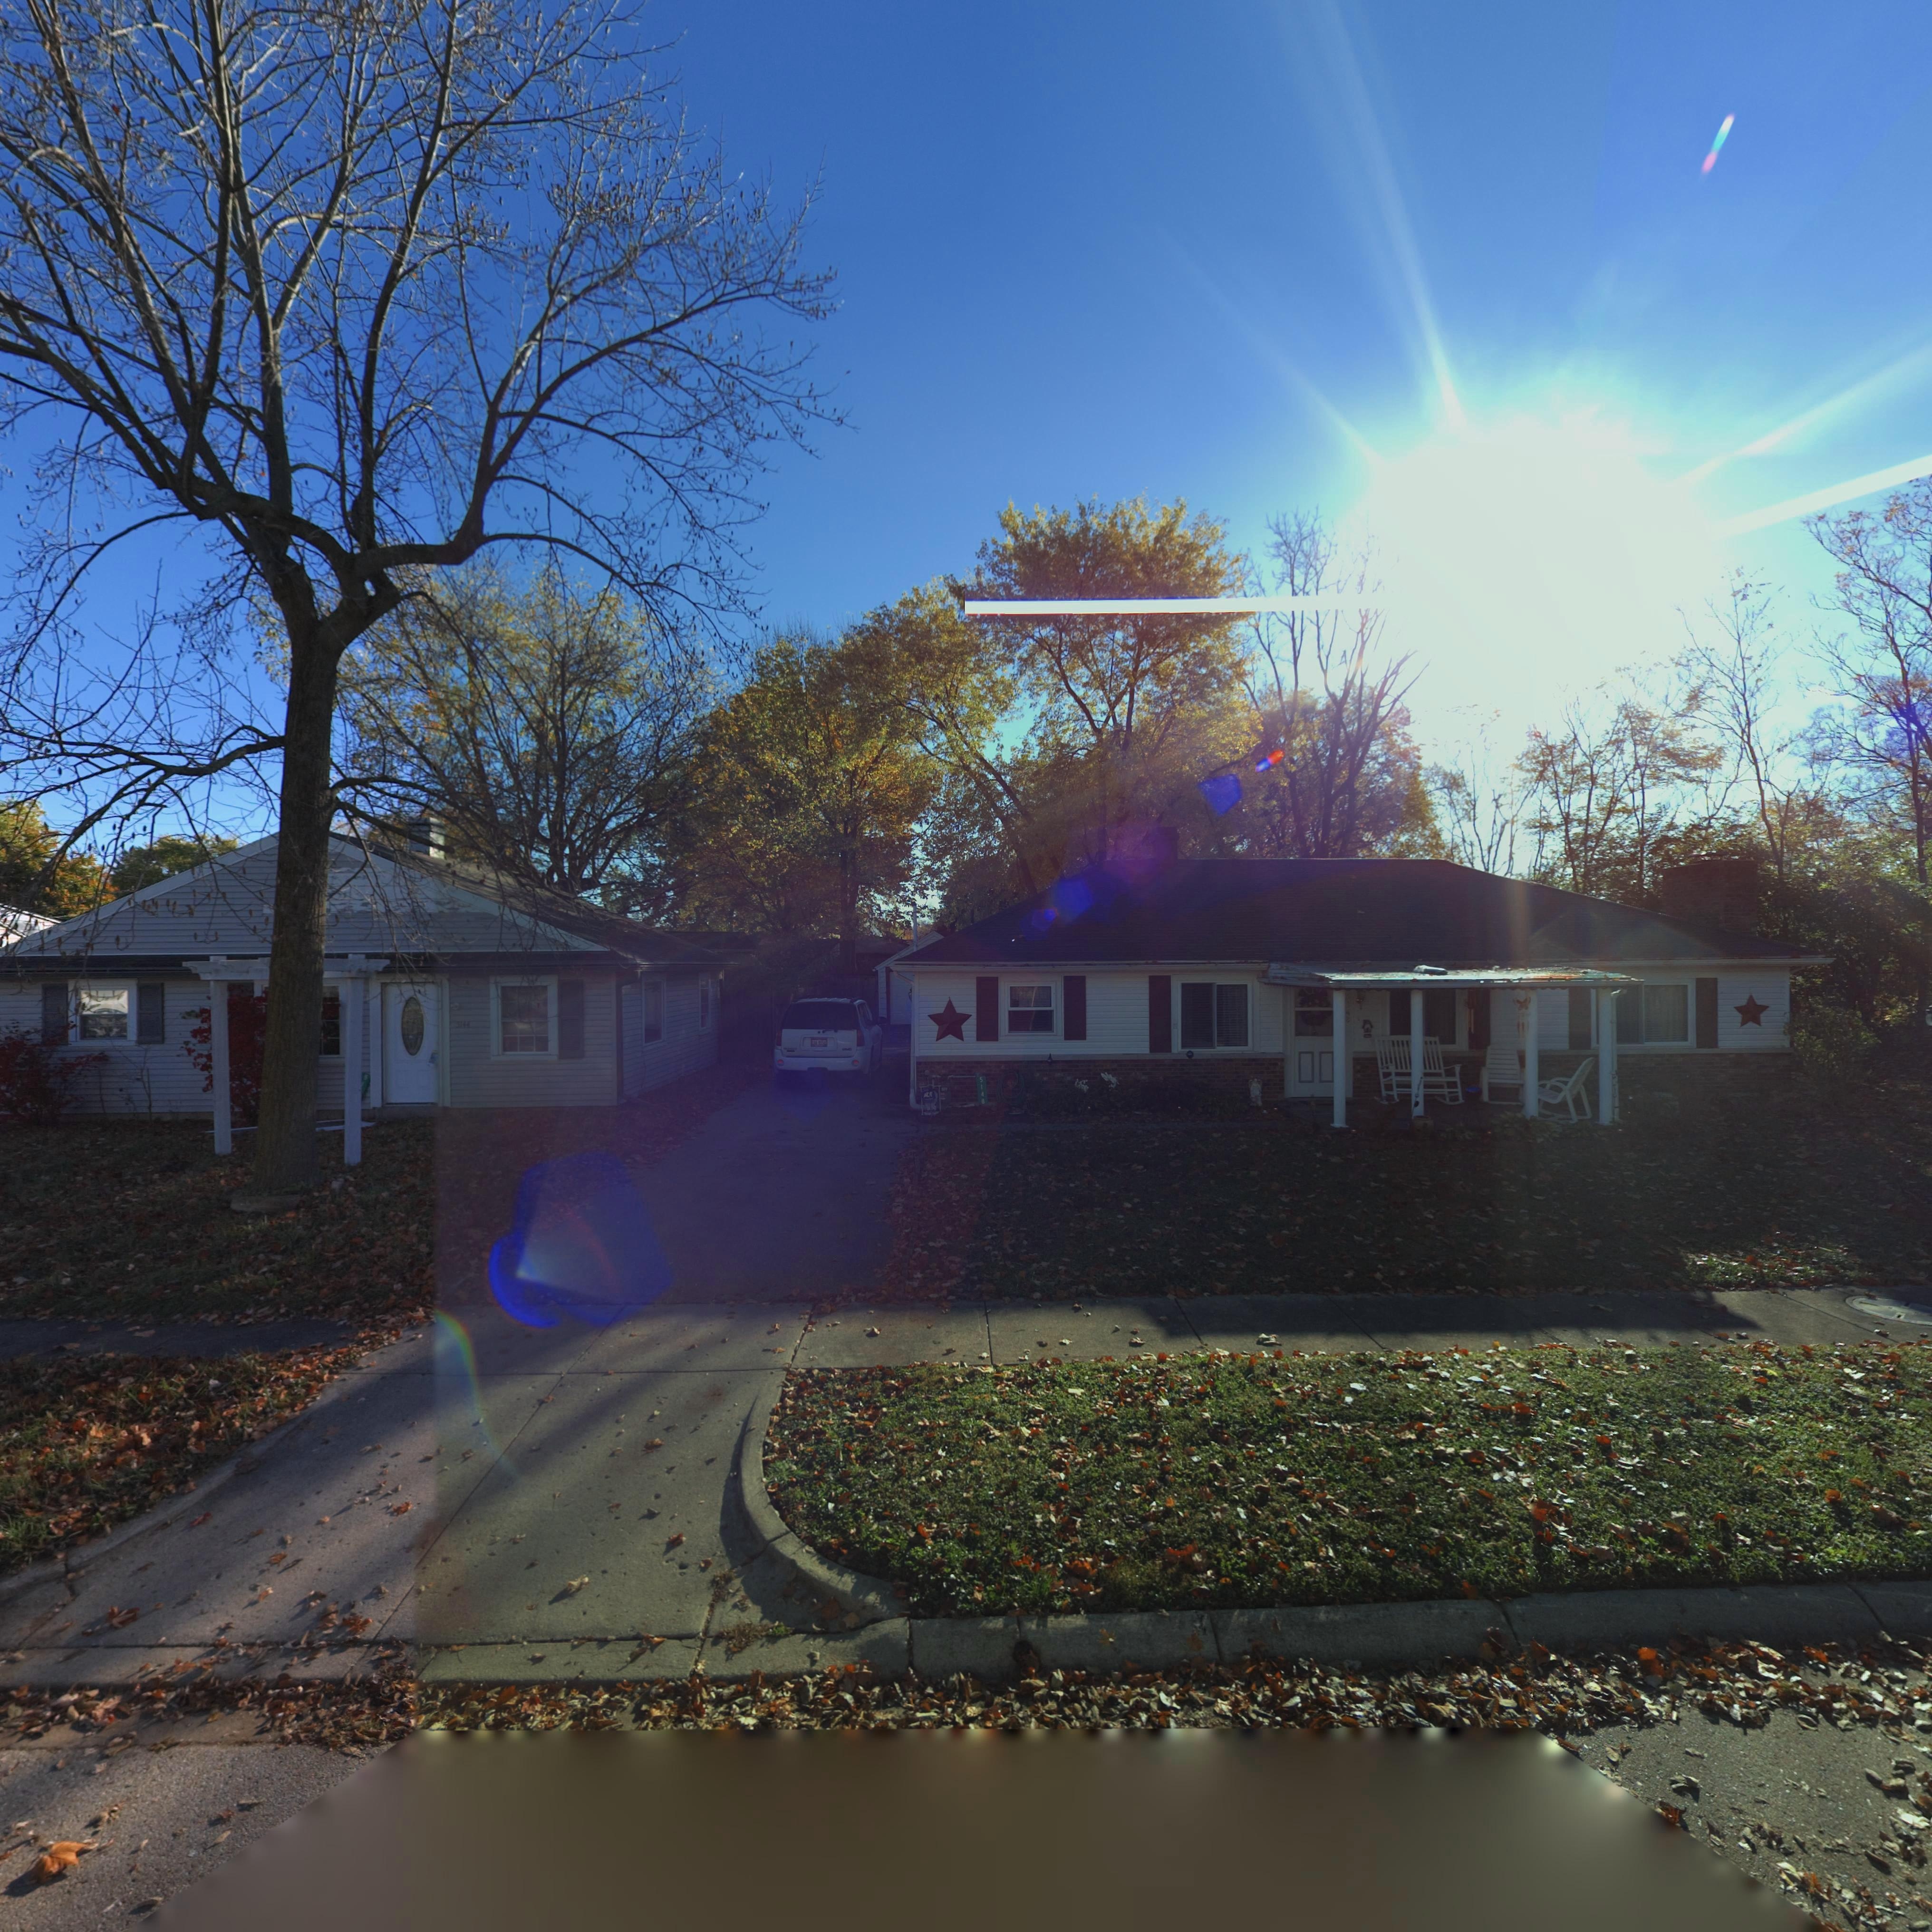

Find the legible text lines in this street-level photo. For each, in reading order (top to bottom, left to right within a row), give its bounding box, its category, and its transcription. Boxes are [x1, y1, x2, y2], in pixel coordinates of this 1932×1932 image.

[1345, 992, 1350, 1024] StreetNumber: **48
[454, 1021, 471, 1029] StreetNumber: 5144
[362, 1073, 369, 1082] StreetNumber: 5
[979, 1076, 985, 1105] StreetNumber: 5148